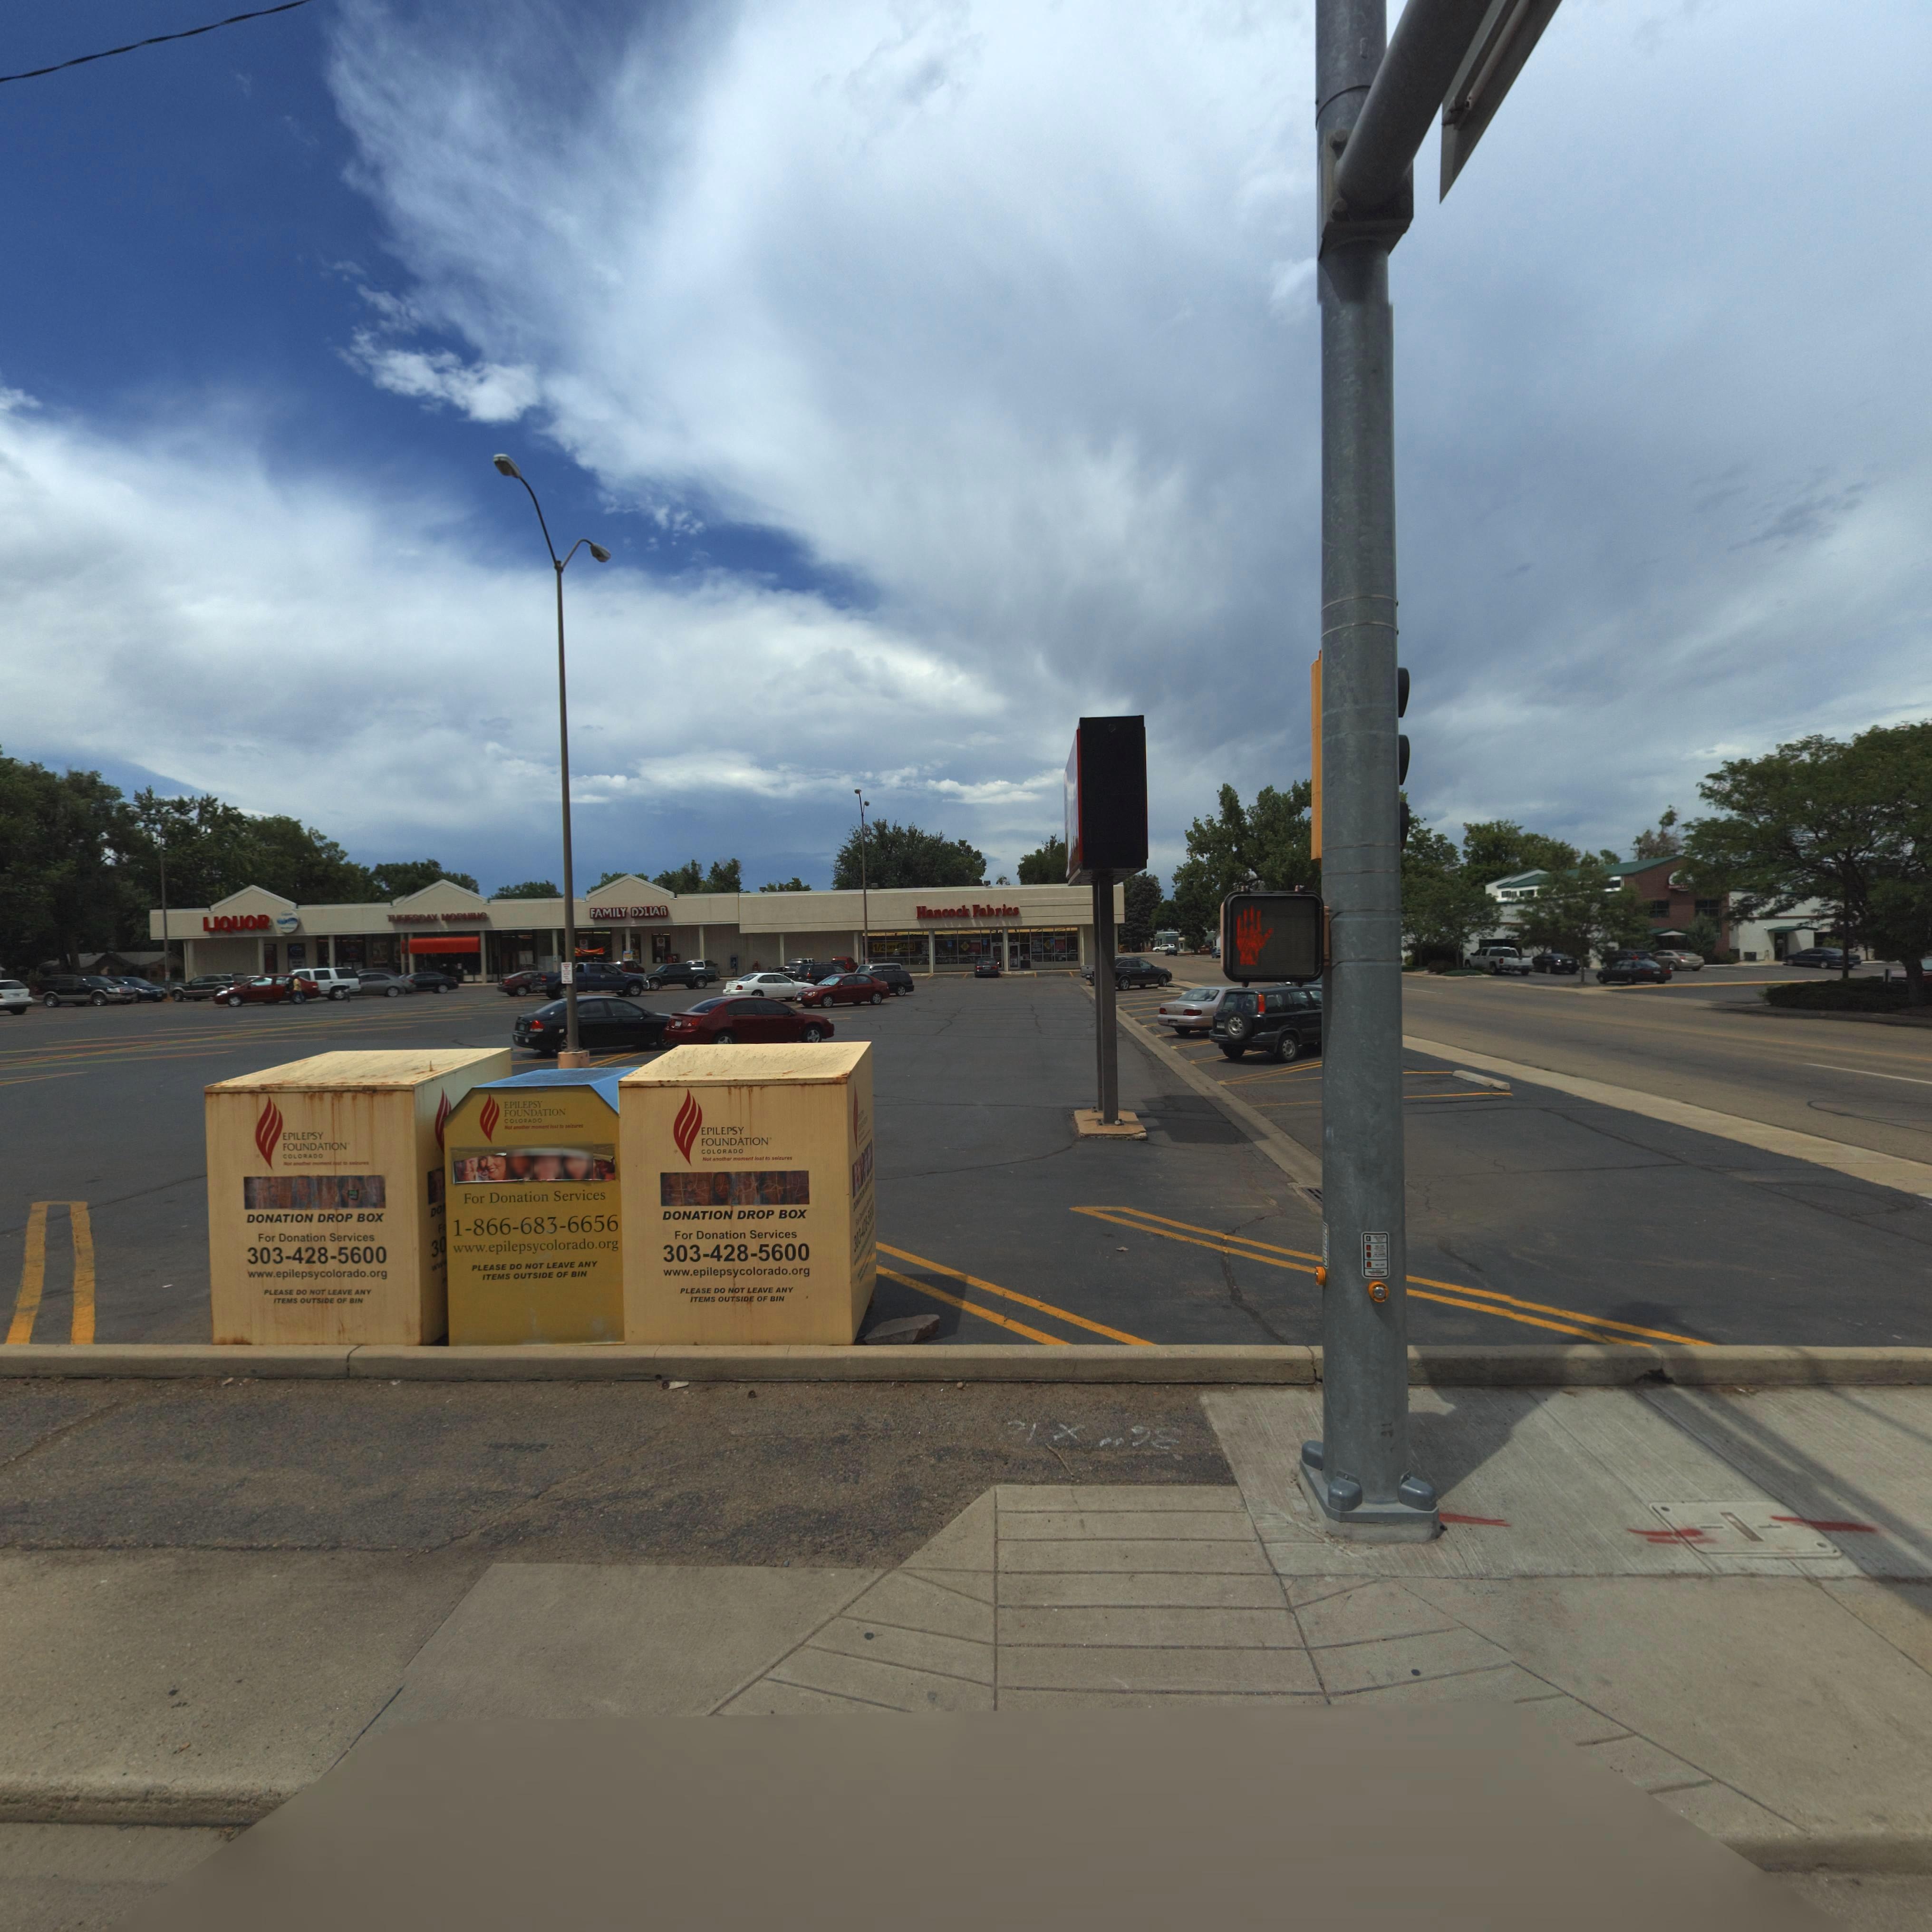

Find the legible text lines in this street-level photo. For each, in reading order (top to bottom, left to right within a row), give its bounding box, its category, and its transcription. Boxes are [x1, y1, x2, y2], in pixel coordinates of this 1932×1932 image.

[386, 911, 487, 923] BusinessName: T****AY MO****G
[590, 906, 667, 918] BusinessName: FAMILY DOLLAR
[916, 903, 1020, 919] BusinessName: Hancock Fabrics